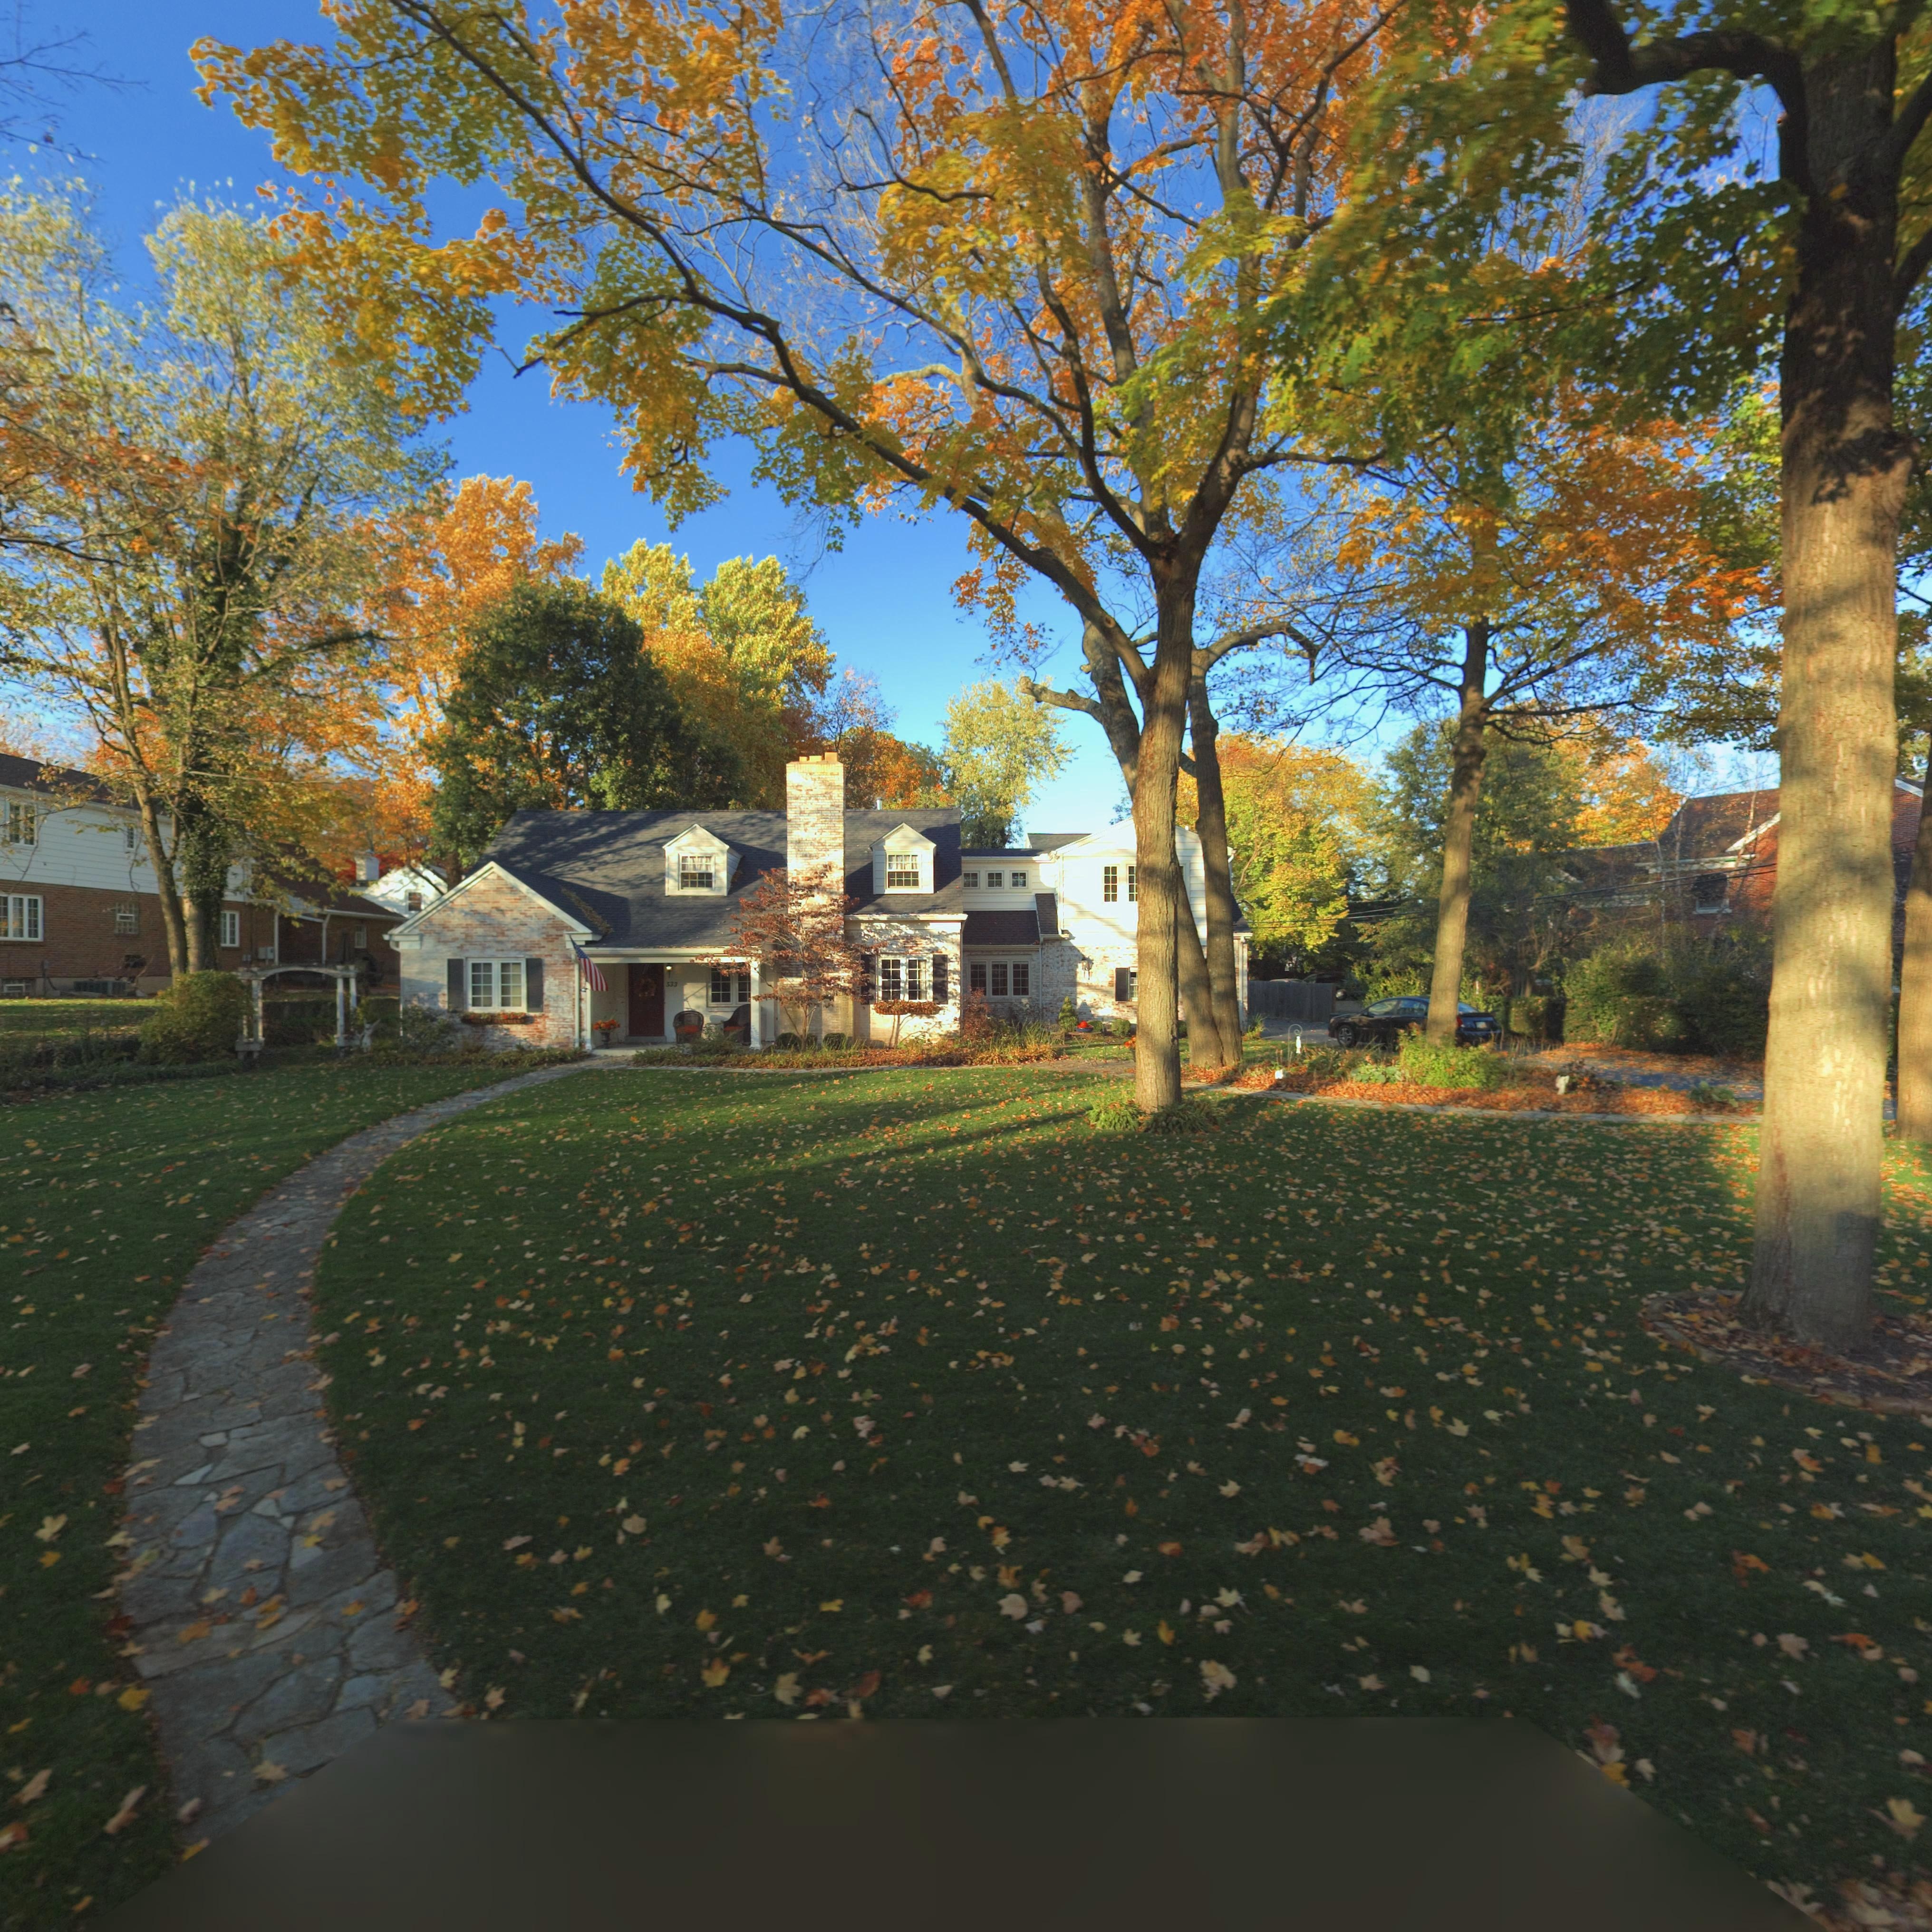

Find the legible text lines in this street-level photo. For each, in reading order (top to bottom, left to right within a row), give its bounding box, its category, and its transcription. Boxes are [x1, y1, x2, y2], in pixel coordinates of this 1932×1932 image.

[665, 981, 678, 988] StreetNumber: 533